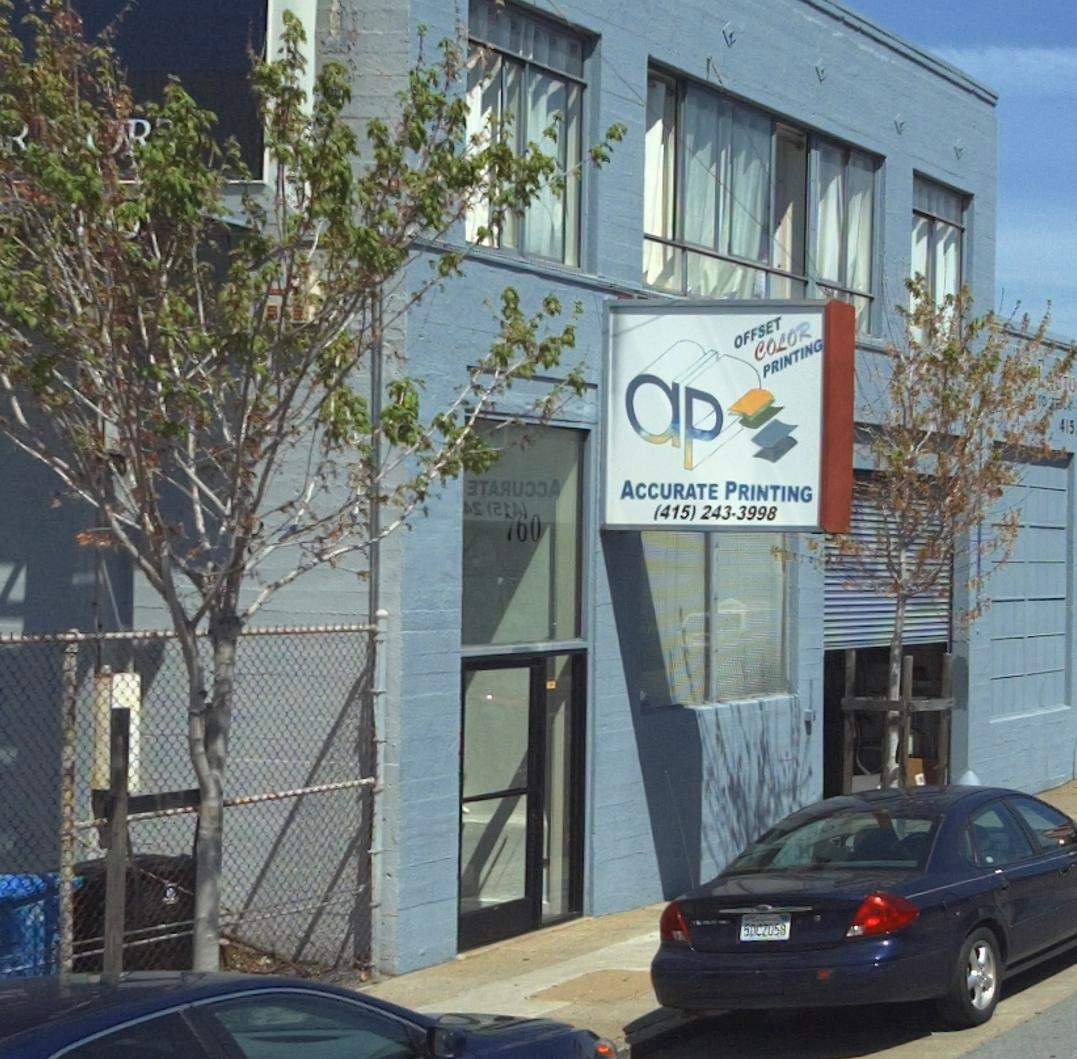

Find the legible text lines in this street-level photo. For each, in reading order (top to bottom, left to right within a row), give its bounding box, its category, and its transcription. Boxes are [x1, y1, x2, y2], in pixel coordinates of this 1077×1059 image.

[732, 315, 782, 351] None: OFFSET
[751, 319, 815, 363] None: COLOR
[762, 336, 822, 380] None: PRINTING
[619, 363, 729, 474] None: ap
[618, 479, 814, 503] BusinessName: ACCURATE PRINTING
[504, 512, 543, 543] StreetNumber: 760
[649, 503, 781, 522] None: (415) 243-3998